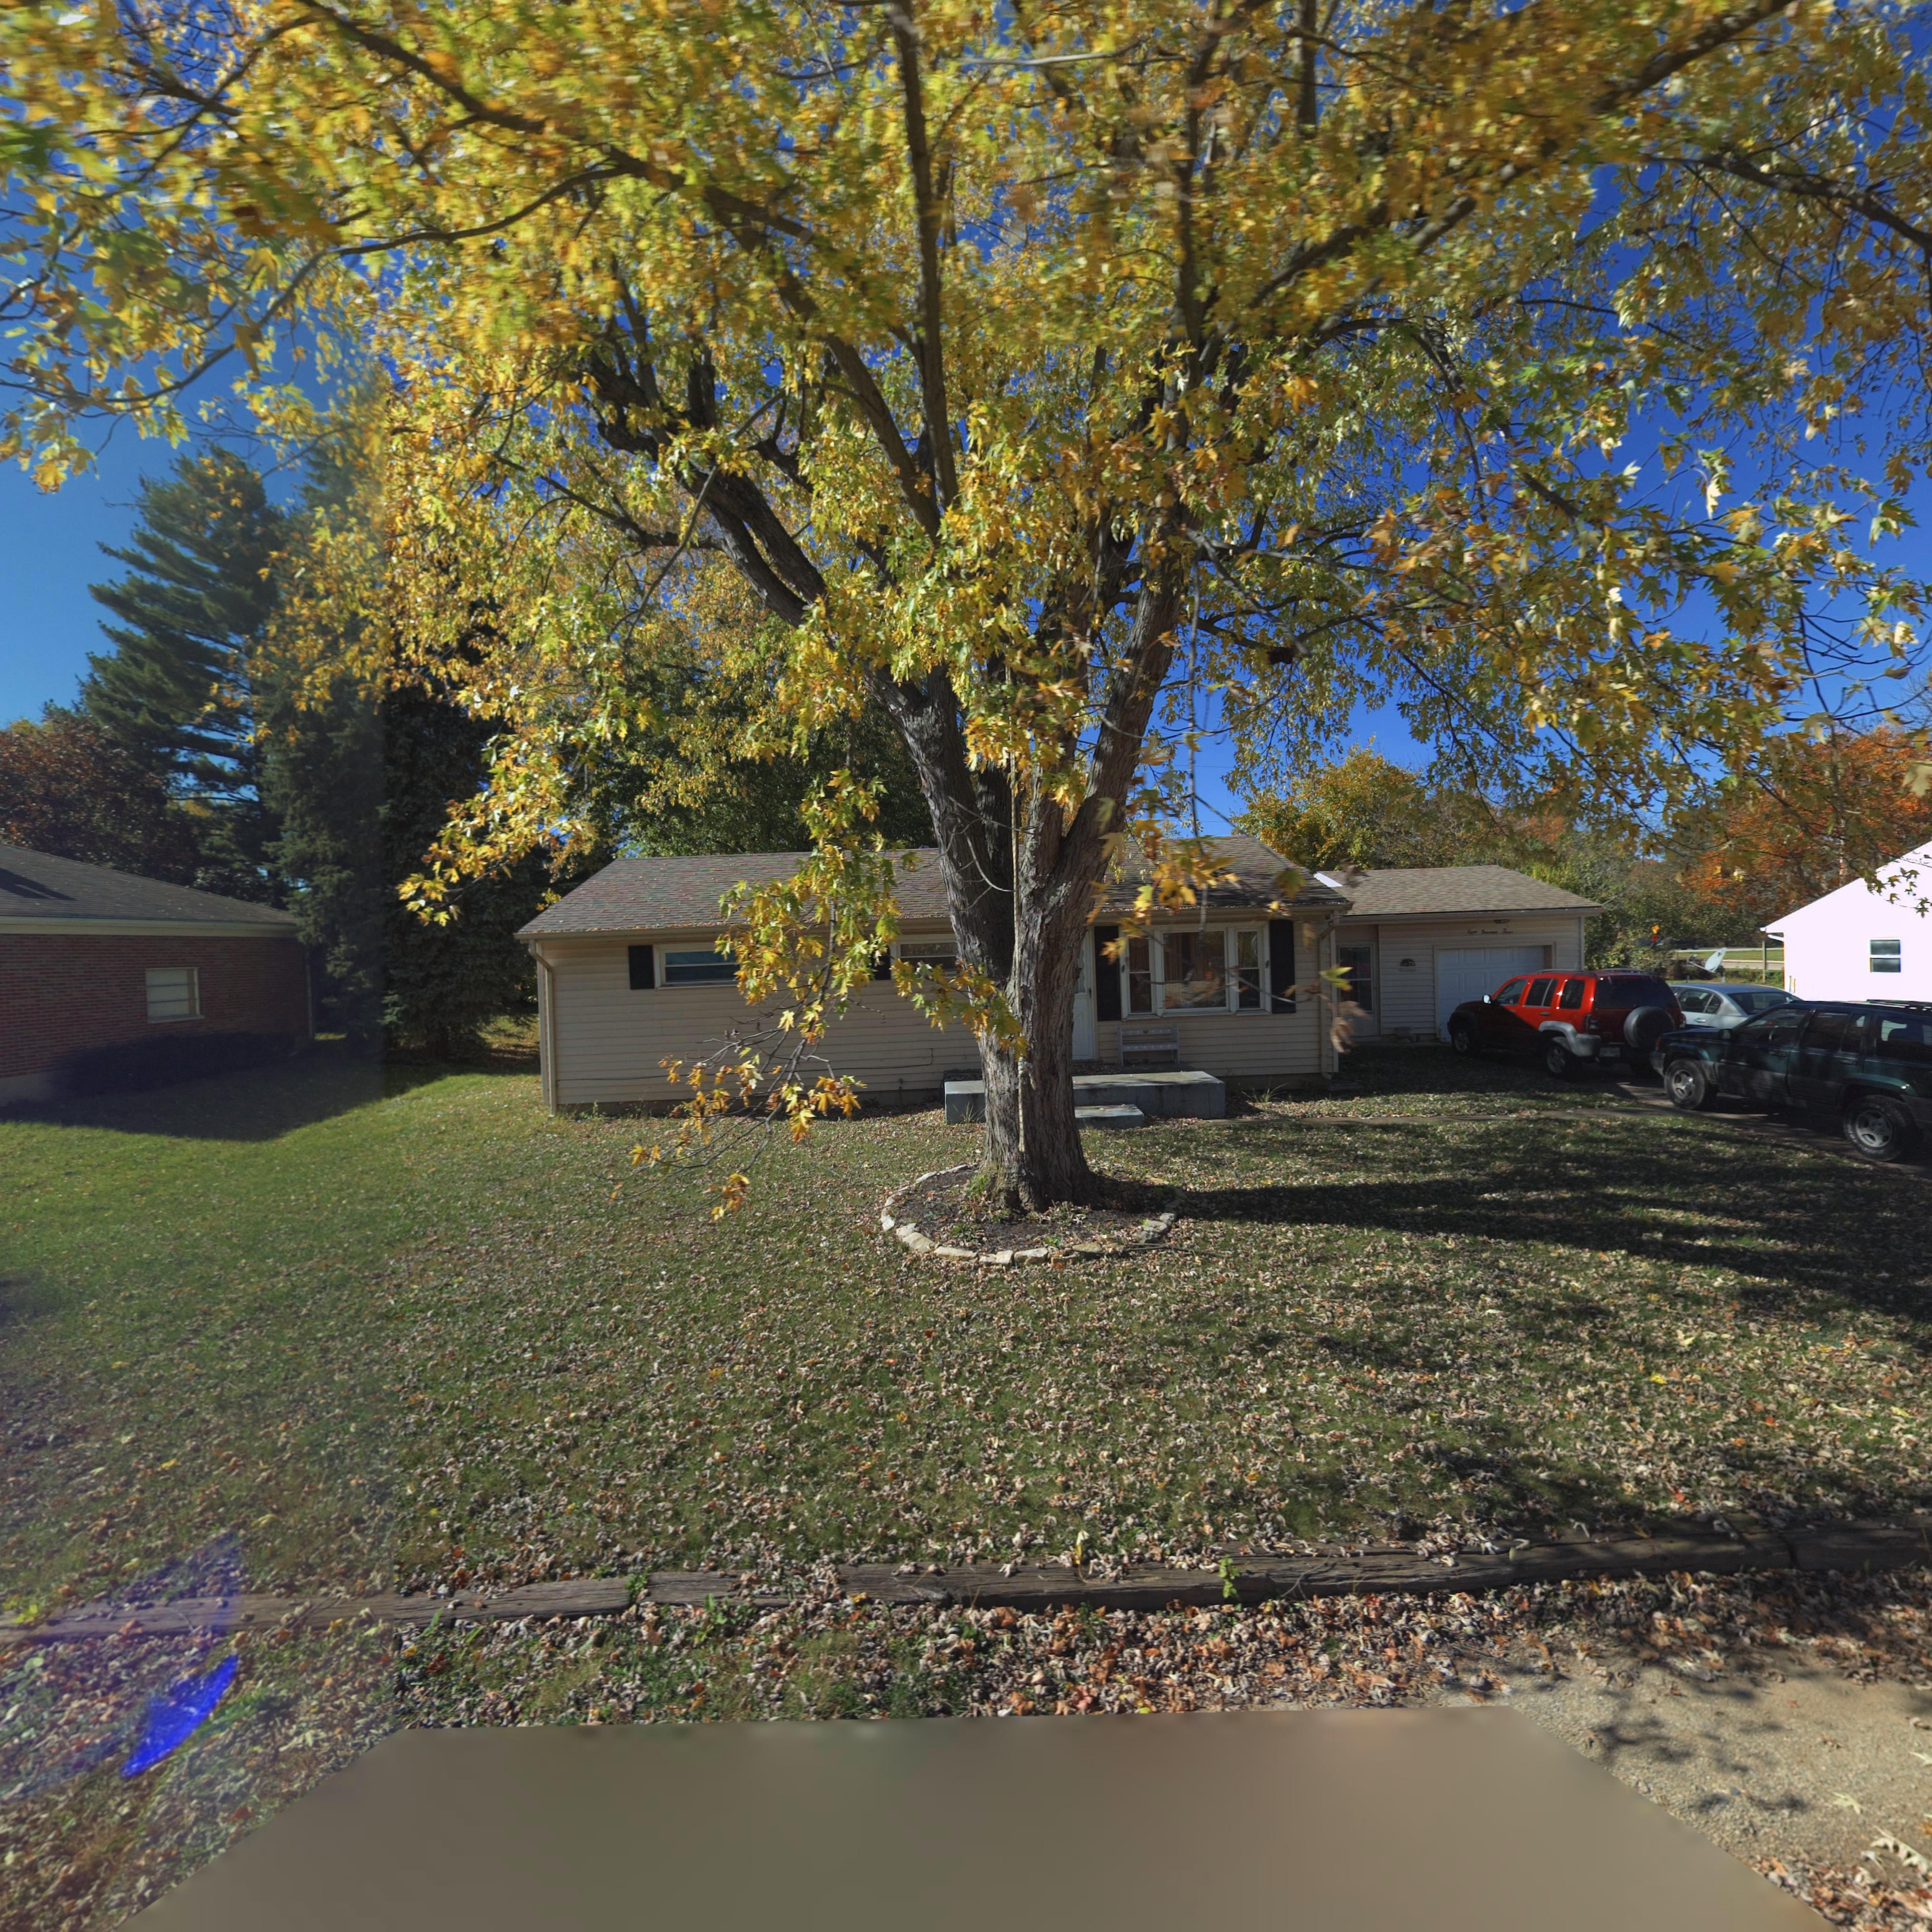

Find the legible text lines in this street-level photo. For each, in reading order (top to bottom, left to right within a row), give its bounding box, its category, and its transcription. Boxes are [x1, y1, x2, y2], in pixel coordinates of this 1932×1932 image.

[1466, 928, 1514, 936] StreetNumber: Eight H****** Five